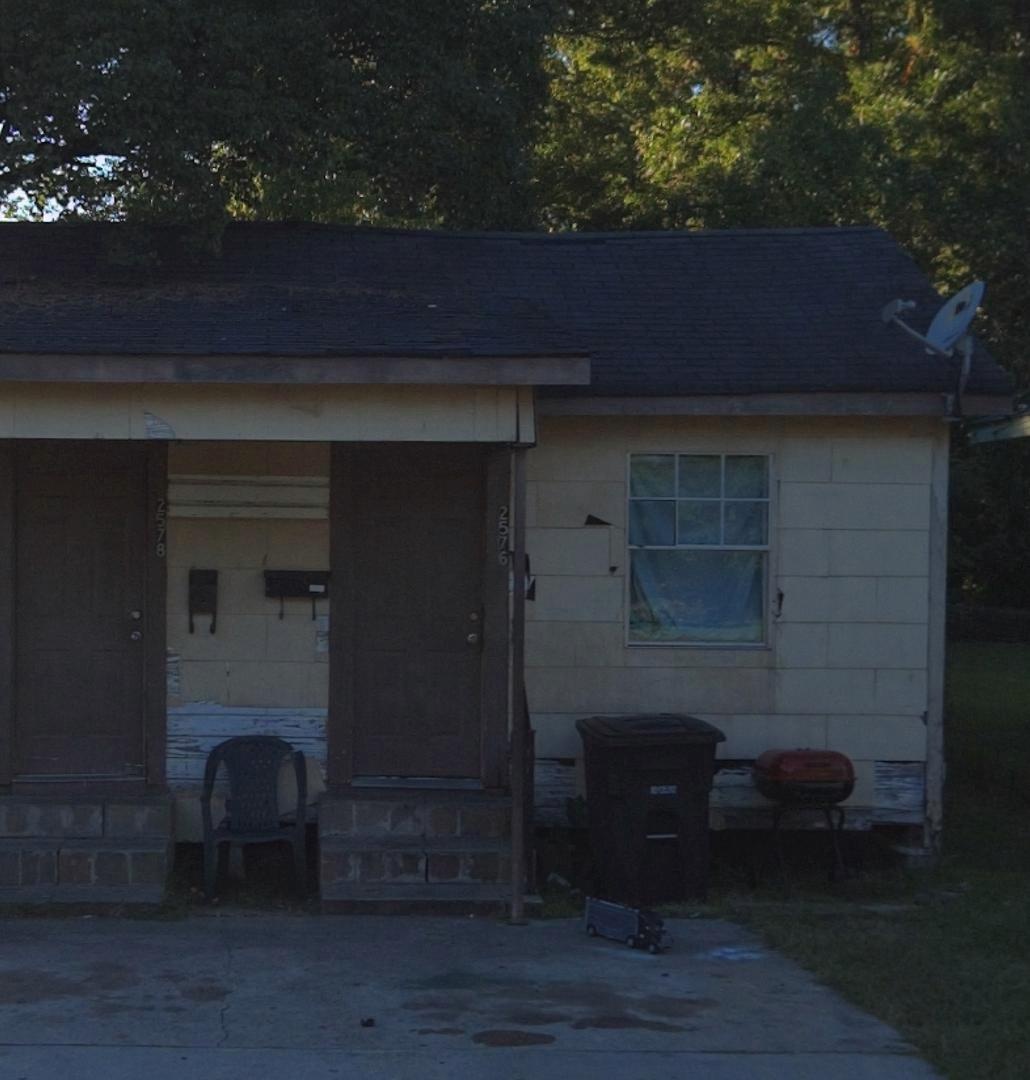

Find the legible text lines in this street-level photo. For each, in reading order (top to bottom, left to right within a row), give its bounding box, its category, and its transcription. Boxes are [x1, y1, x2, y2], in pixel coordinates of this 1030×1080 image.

[155, 497, 166, 558] StreetNumber: 2578
[497, 505, 509, 566] StreetNumber: 2576